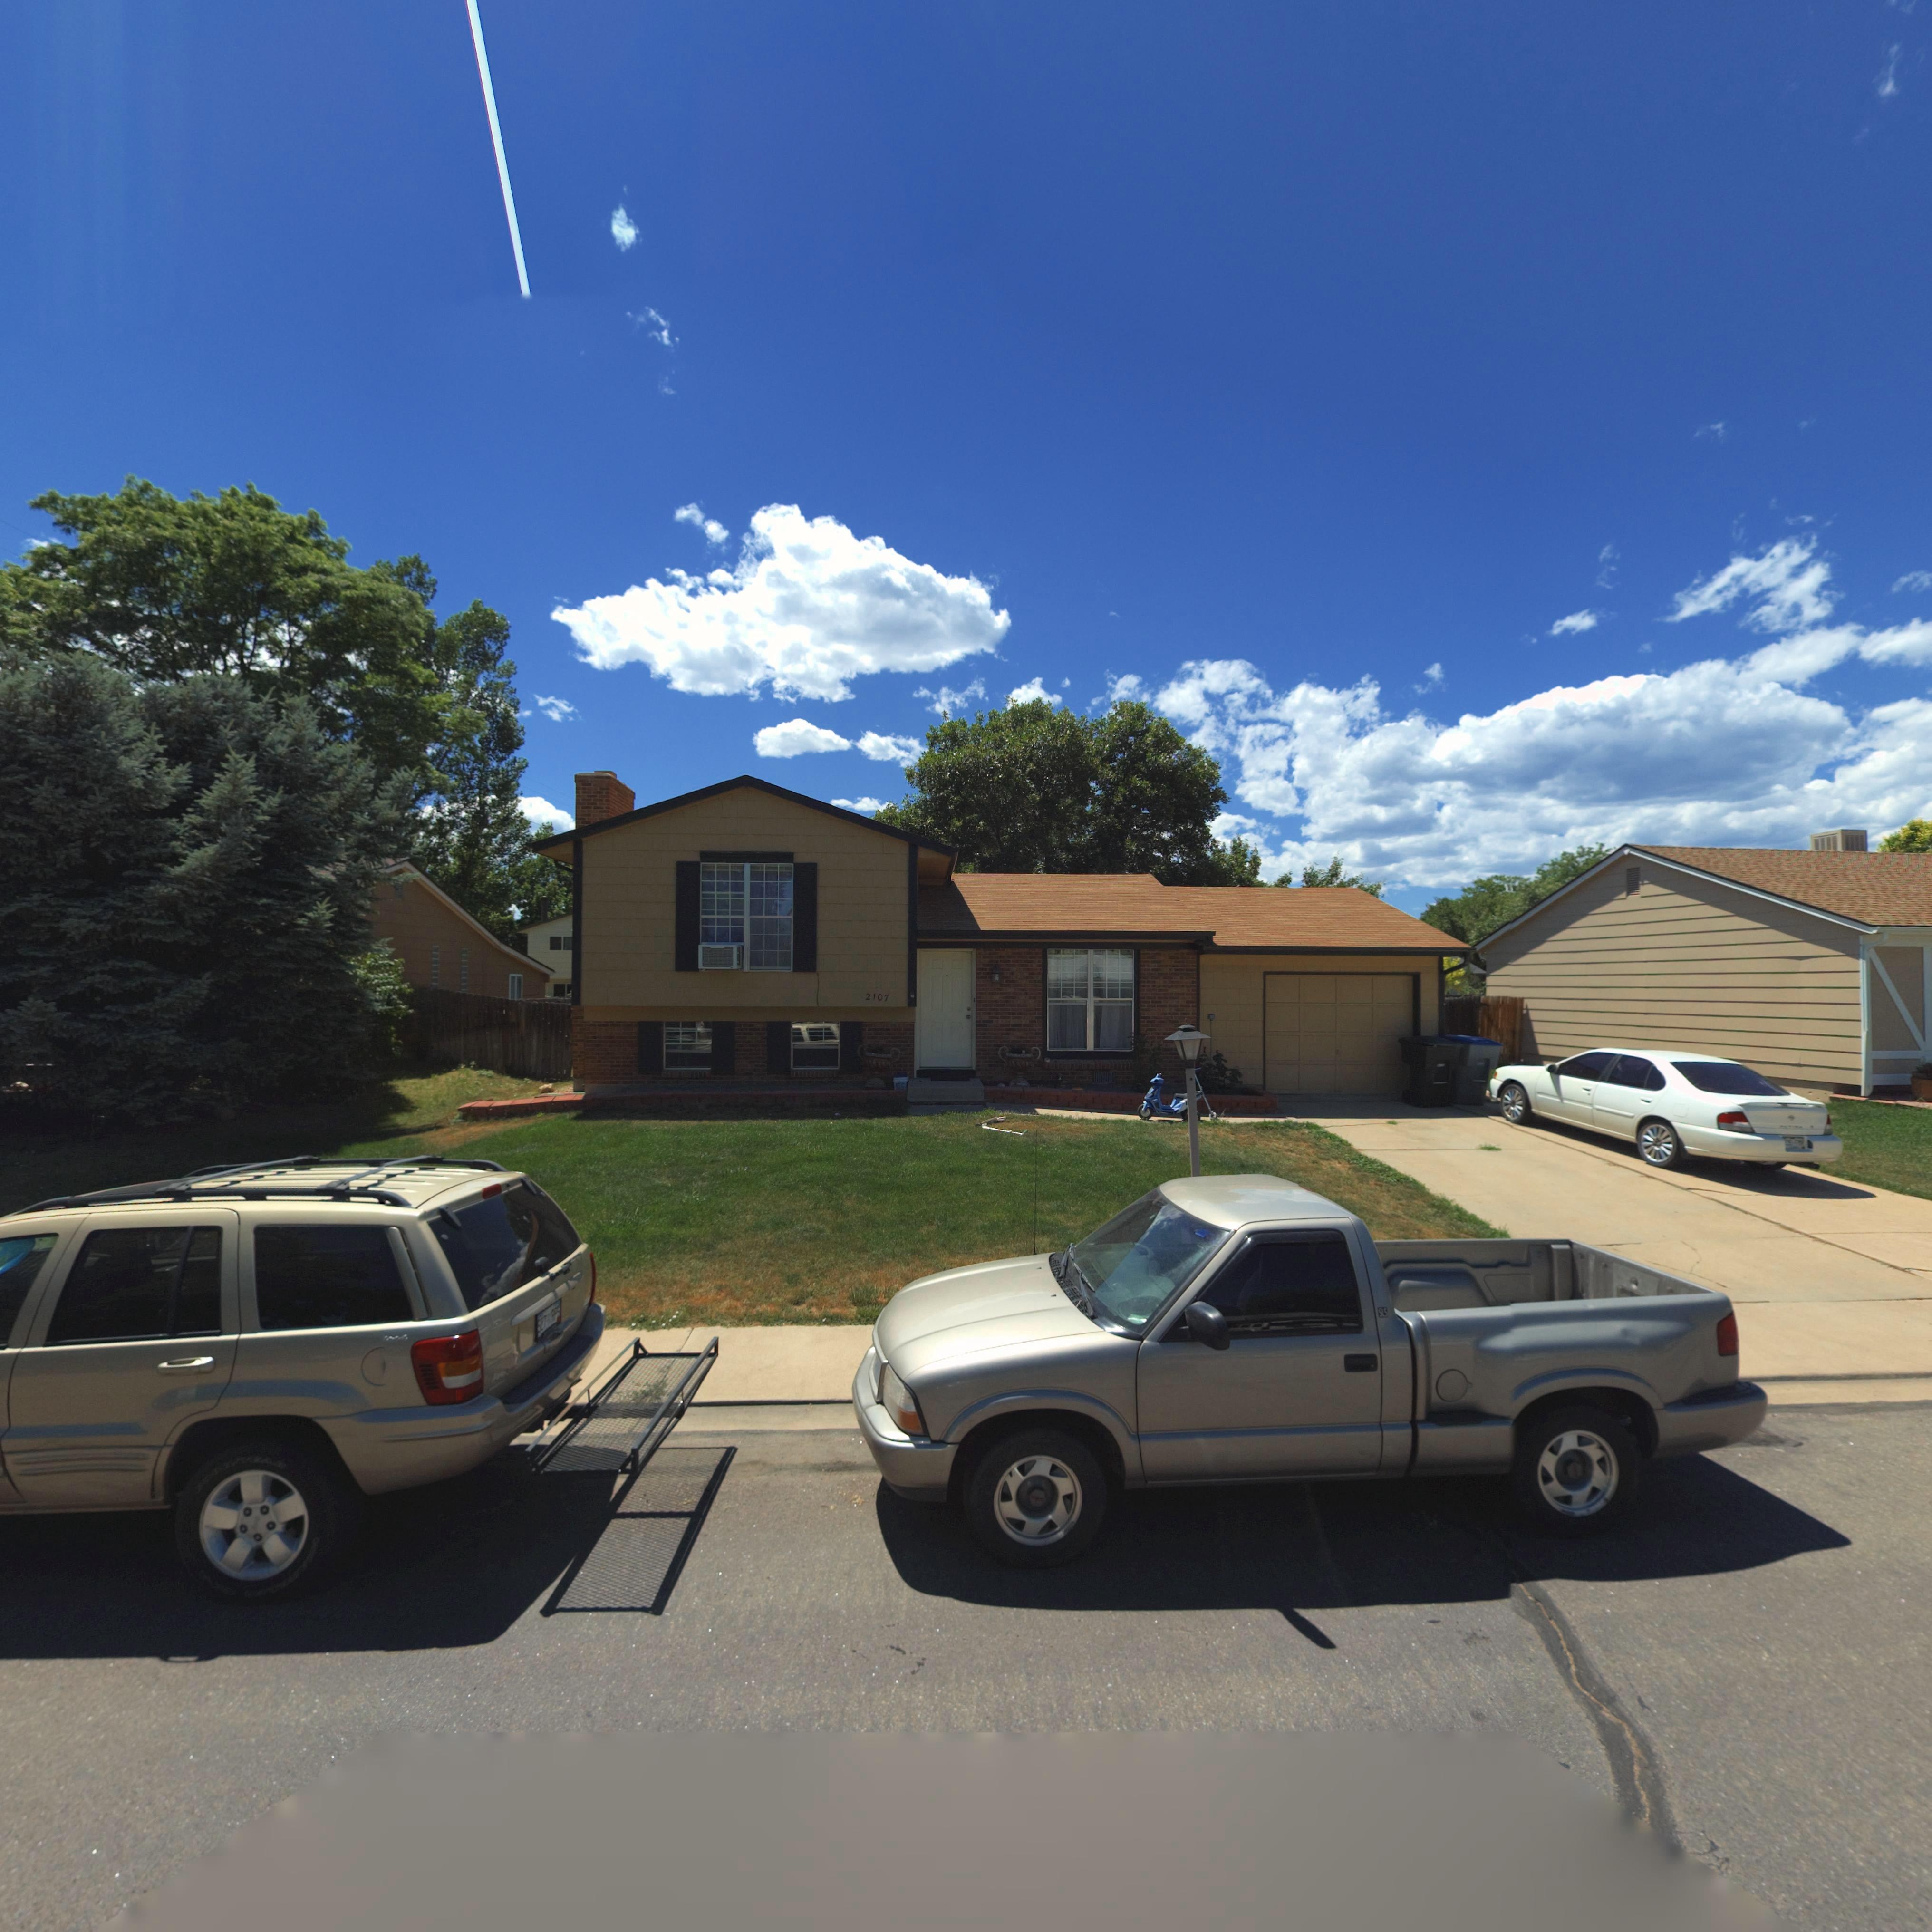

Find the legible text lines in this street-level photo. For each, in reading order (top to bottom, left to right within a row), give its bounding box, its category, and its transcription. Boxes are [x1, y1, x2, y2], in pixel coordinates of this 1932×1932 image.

[865, 993, 889, 1002] StreetNumber: 2107